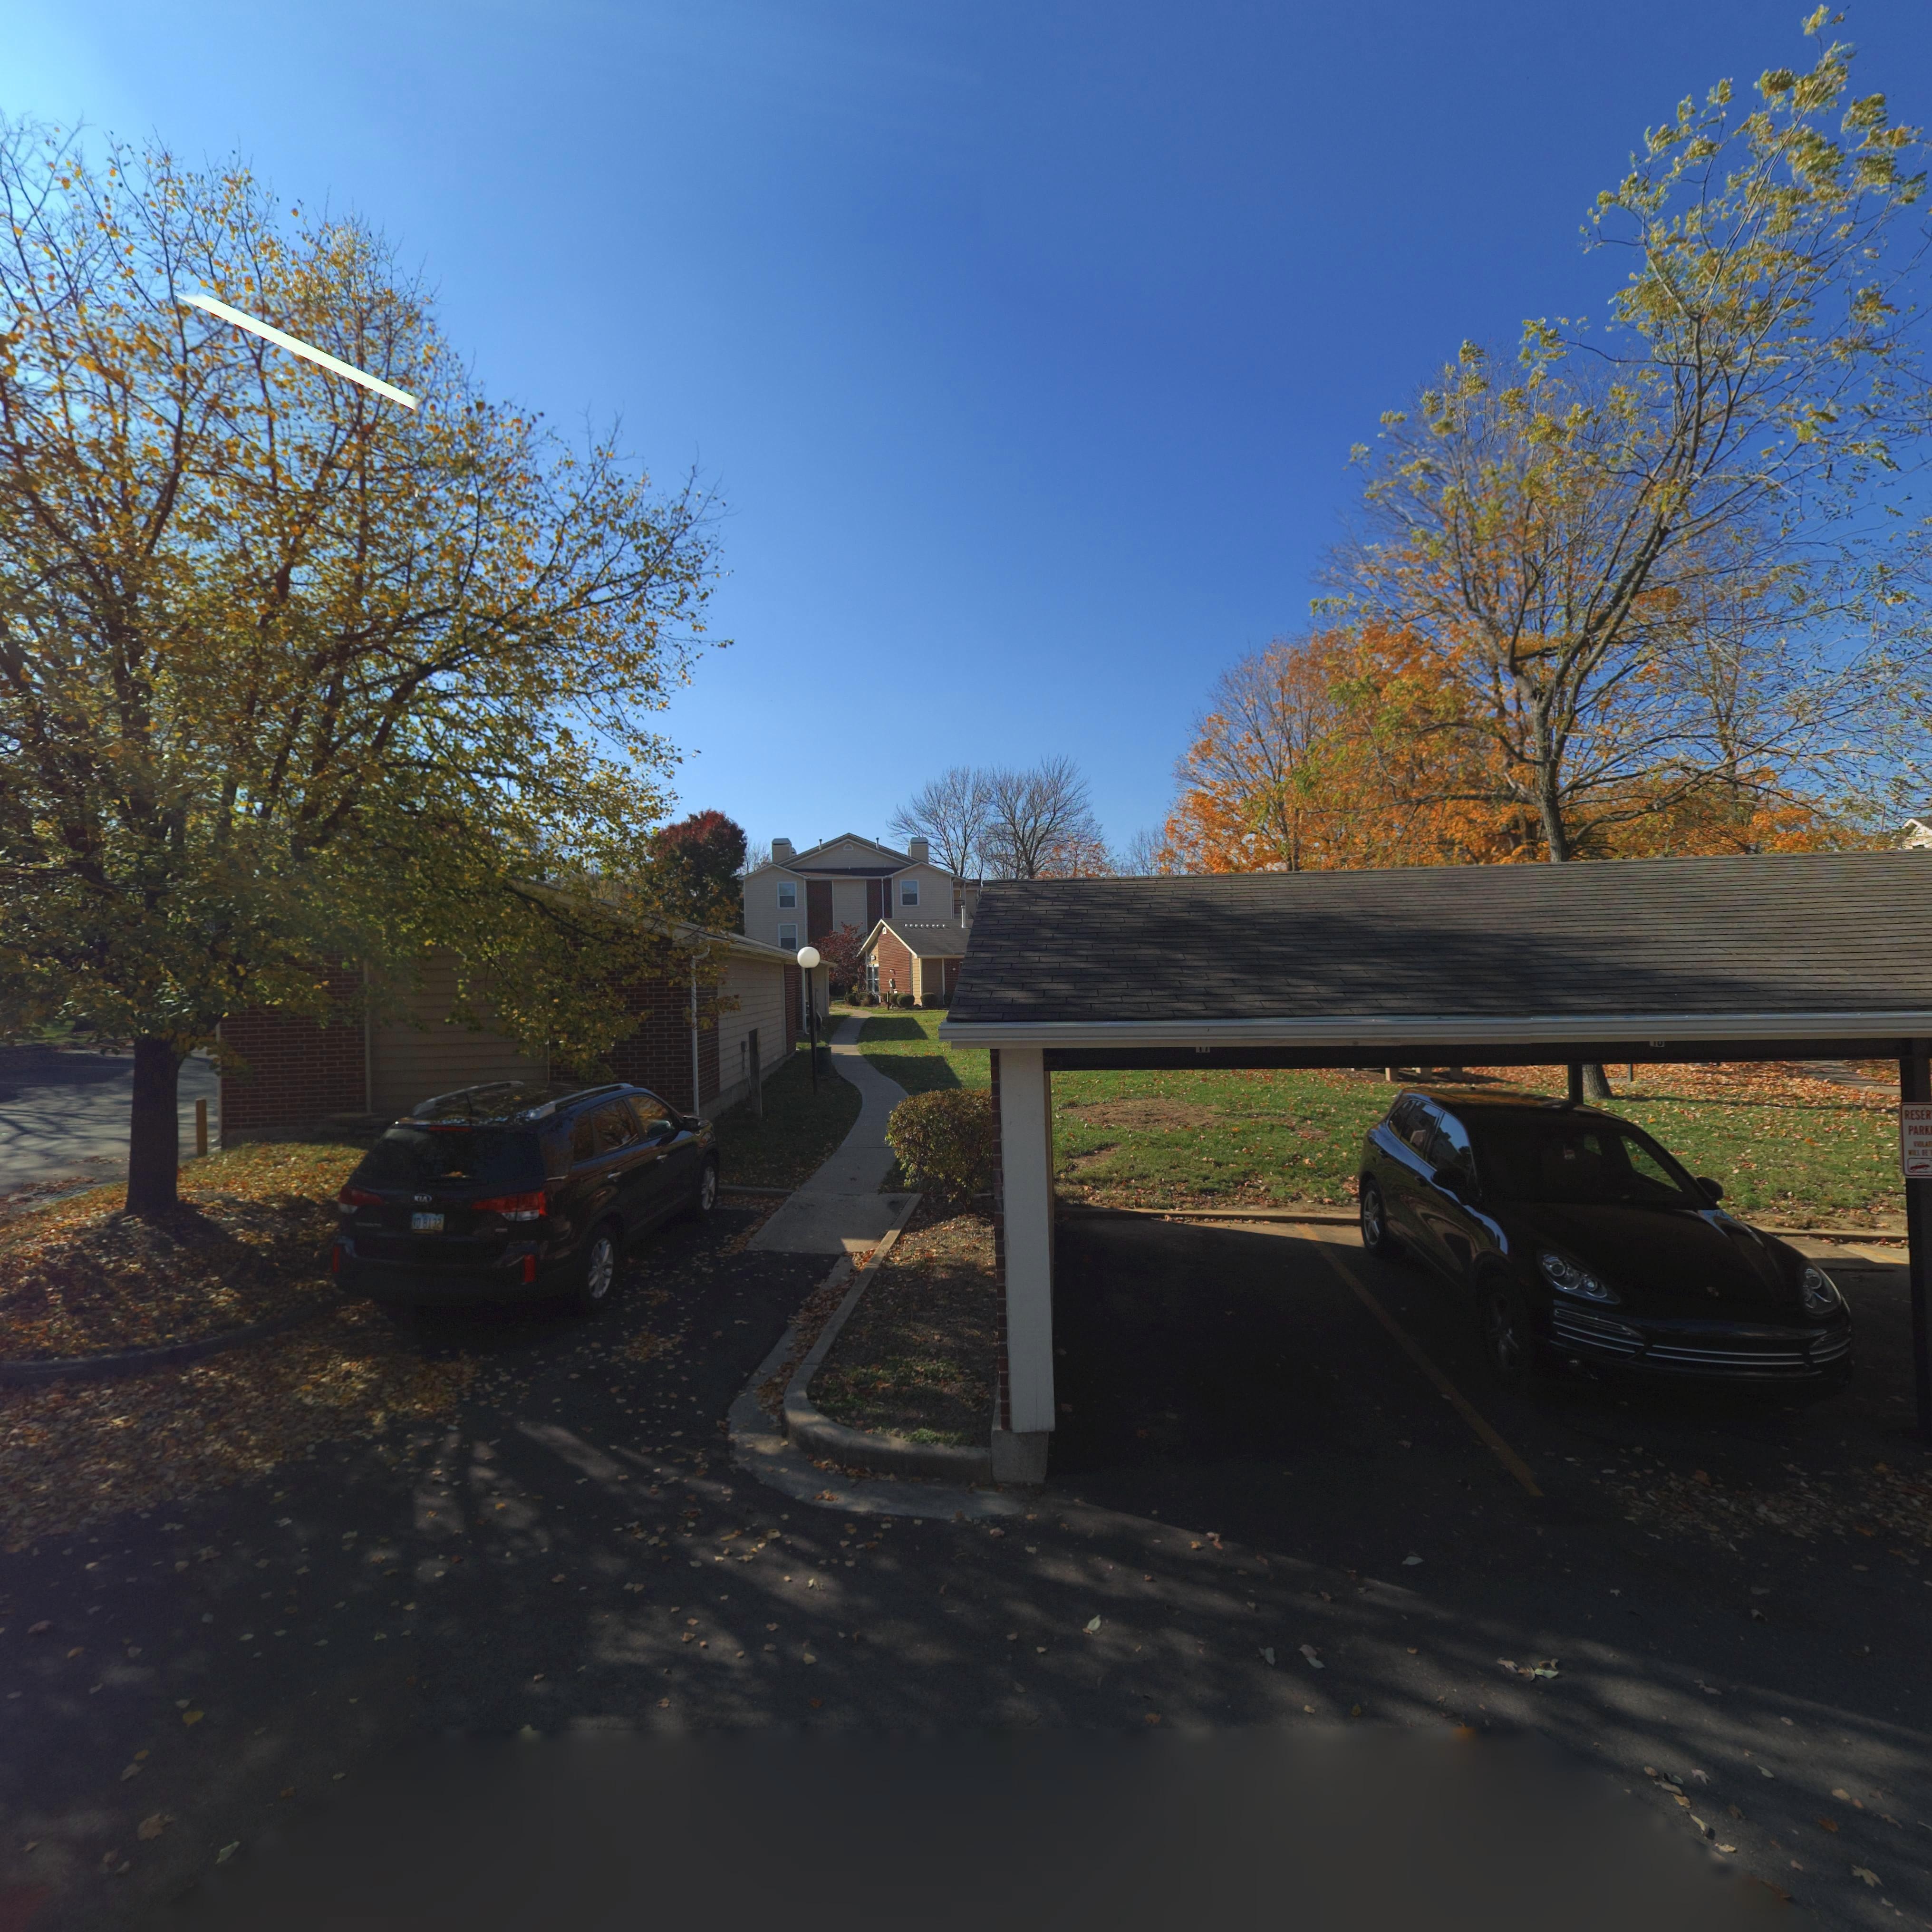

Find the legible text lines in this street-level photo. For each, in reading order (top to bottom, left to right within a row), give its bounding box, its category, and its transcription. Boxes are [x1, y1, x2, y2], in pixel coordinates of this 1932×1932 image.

[414, 1195, 428, 1203] None: KI*
[422, 1217, 442, 1230] None: 8132